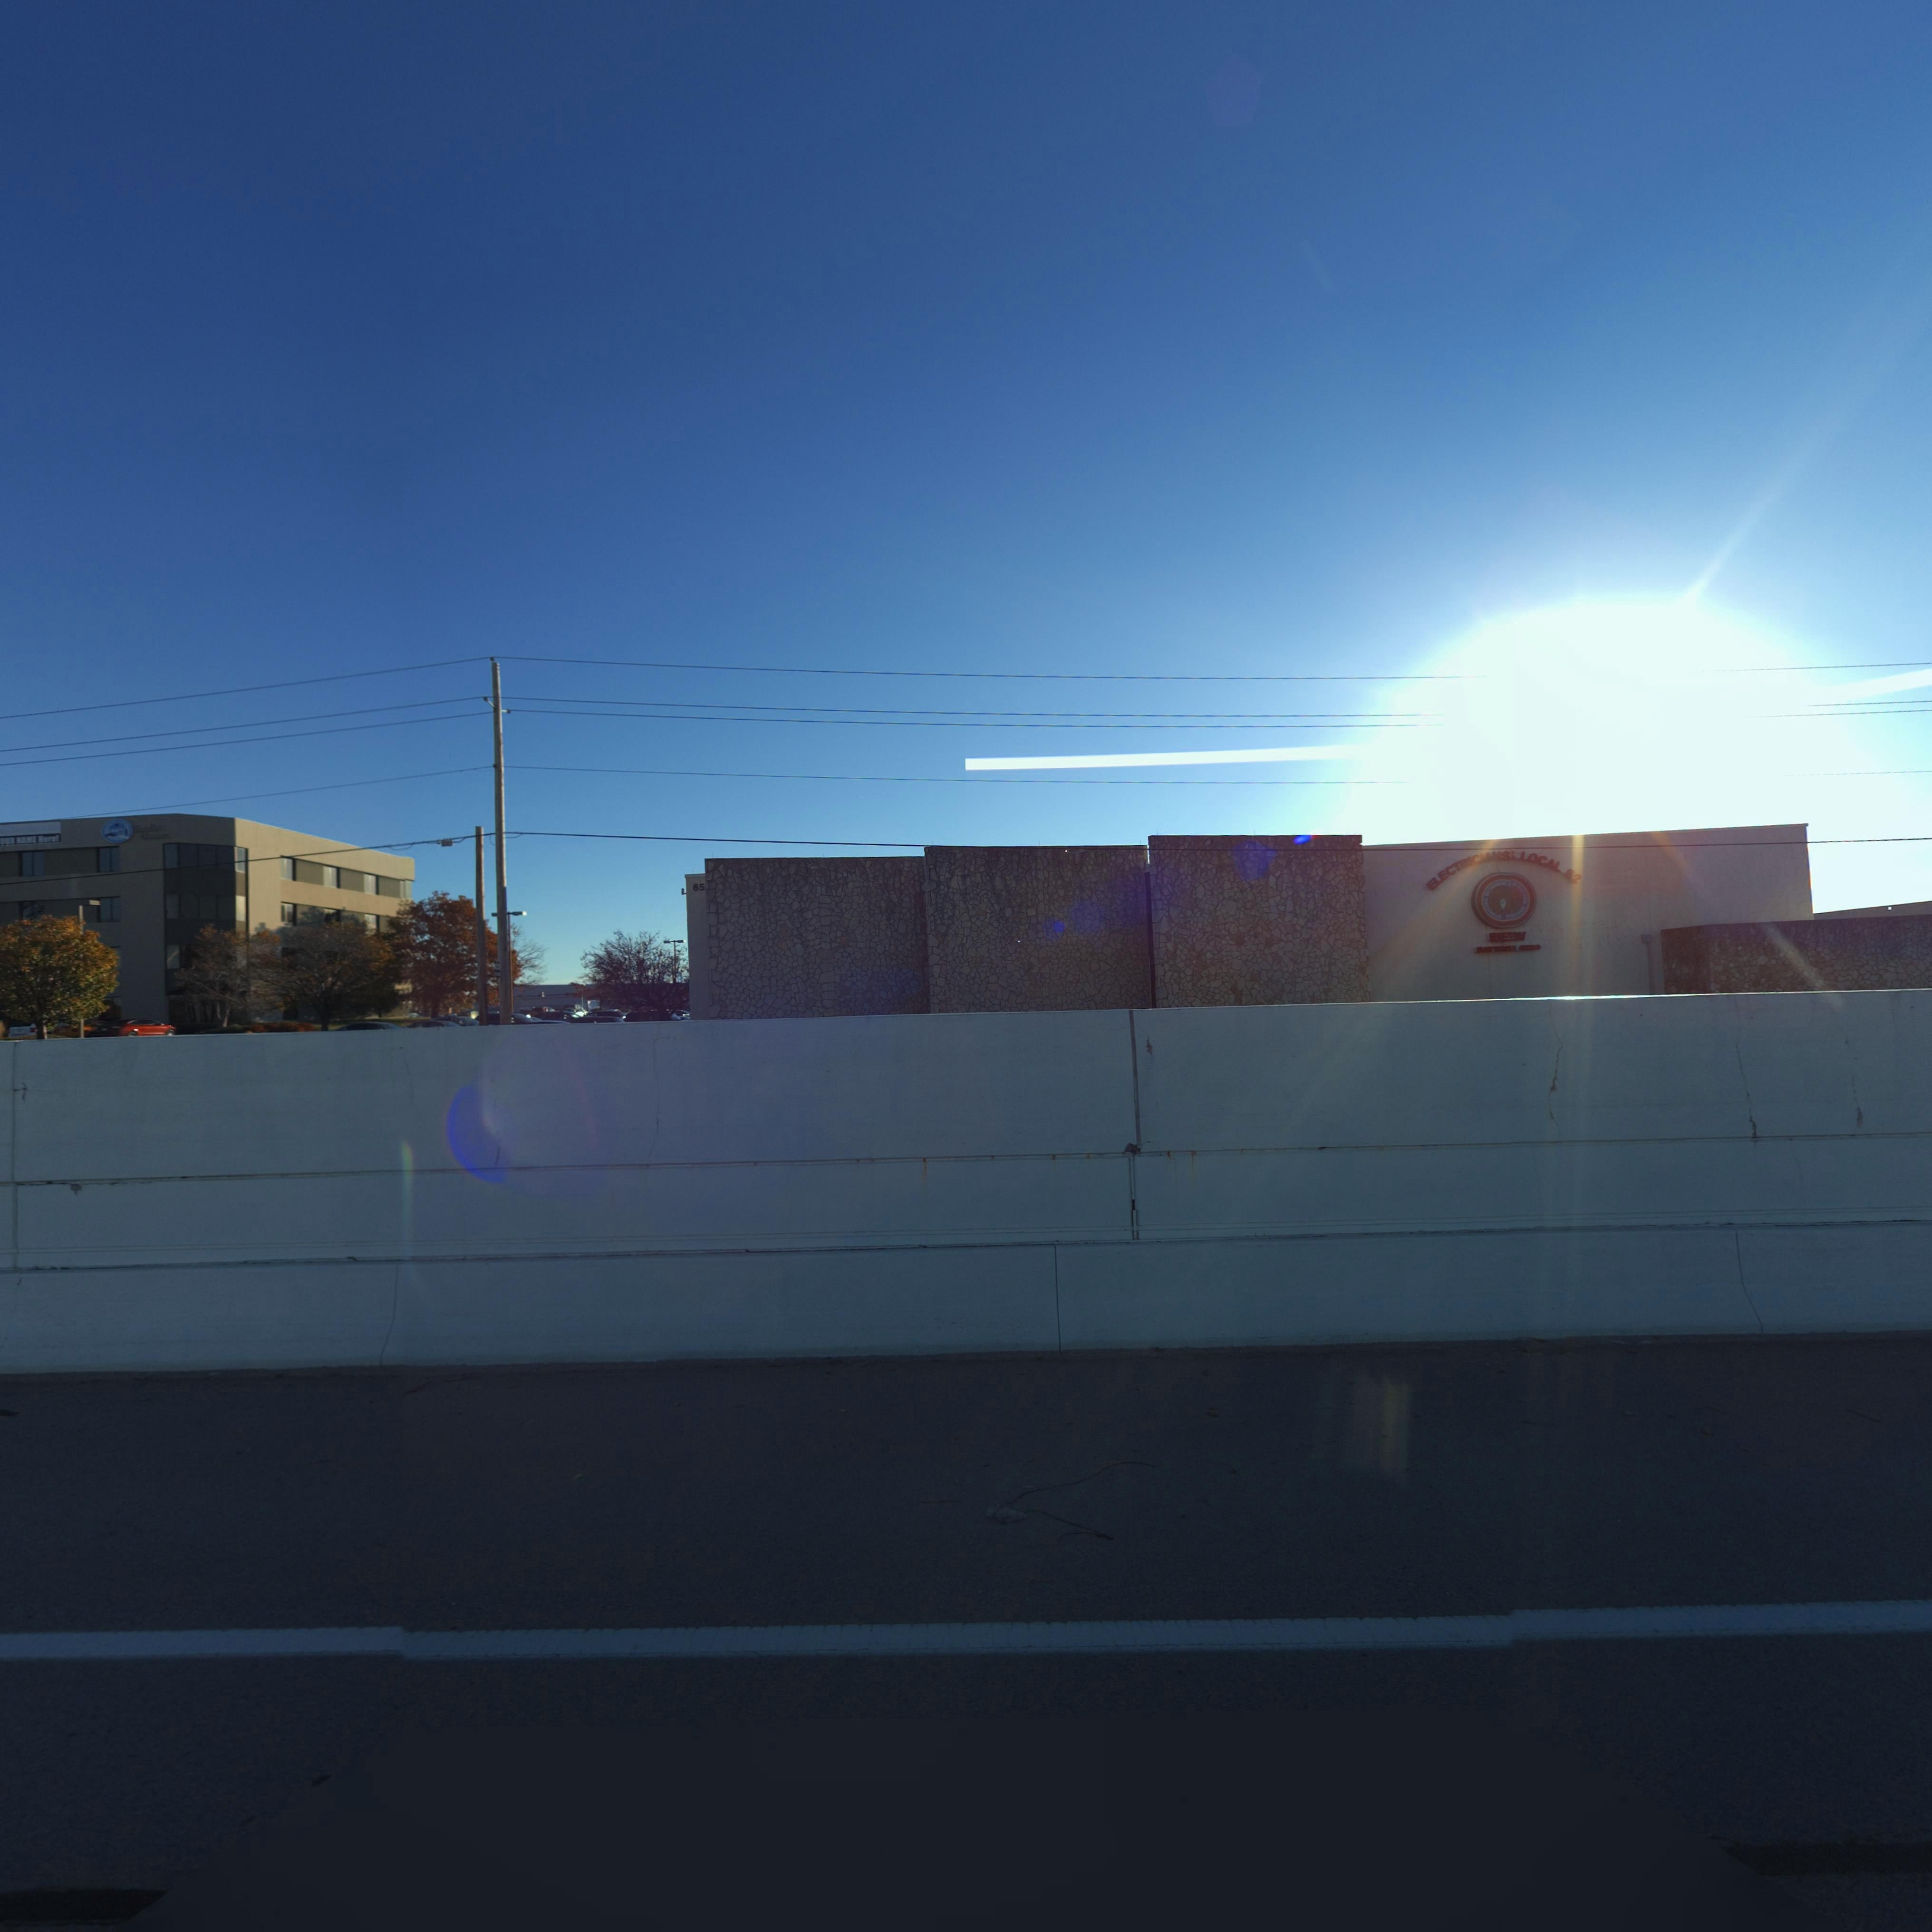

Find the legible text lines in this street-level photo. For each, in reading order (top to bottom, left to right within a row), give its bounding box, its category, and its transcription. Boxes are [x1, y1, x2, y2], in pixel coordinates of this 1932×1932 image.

[692, 882, 706, 893] StreetNumber: 65
[1422, 850, 1584, 892] BusinessName: ELECT**CIANS LOCAL 82